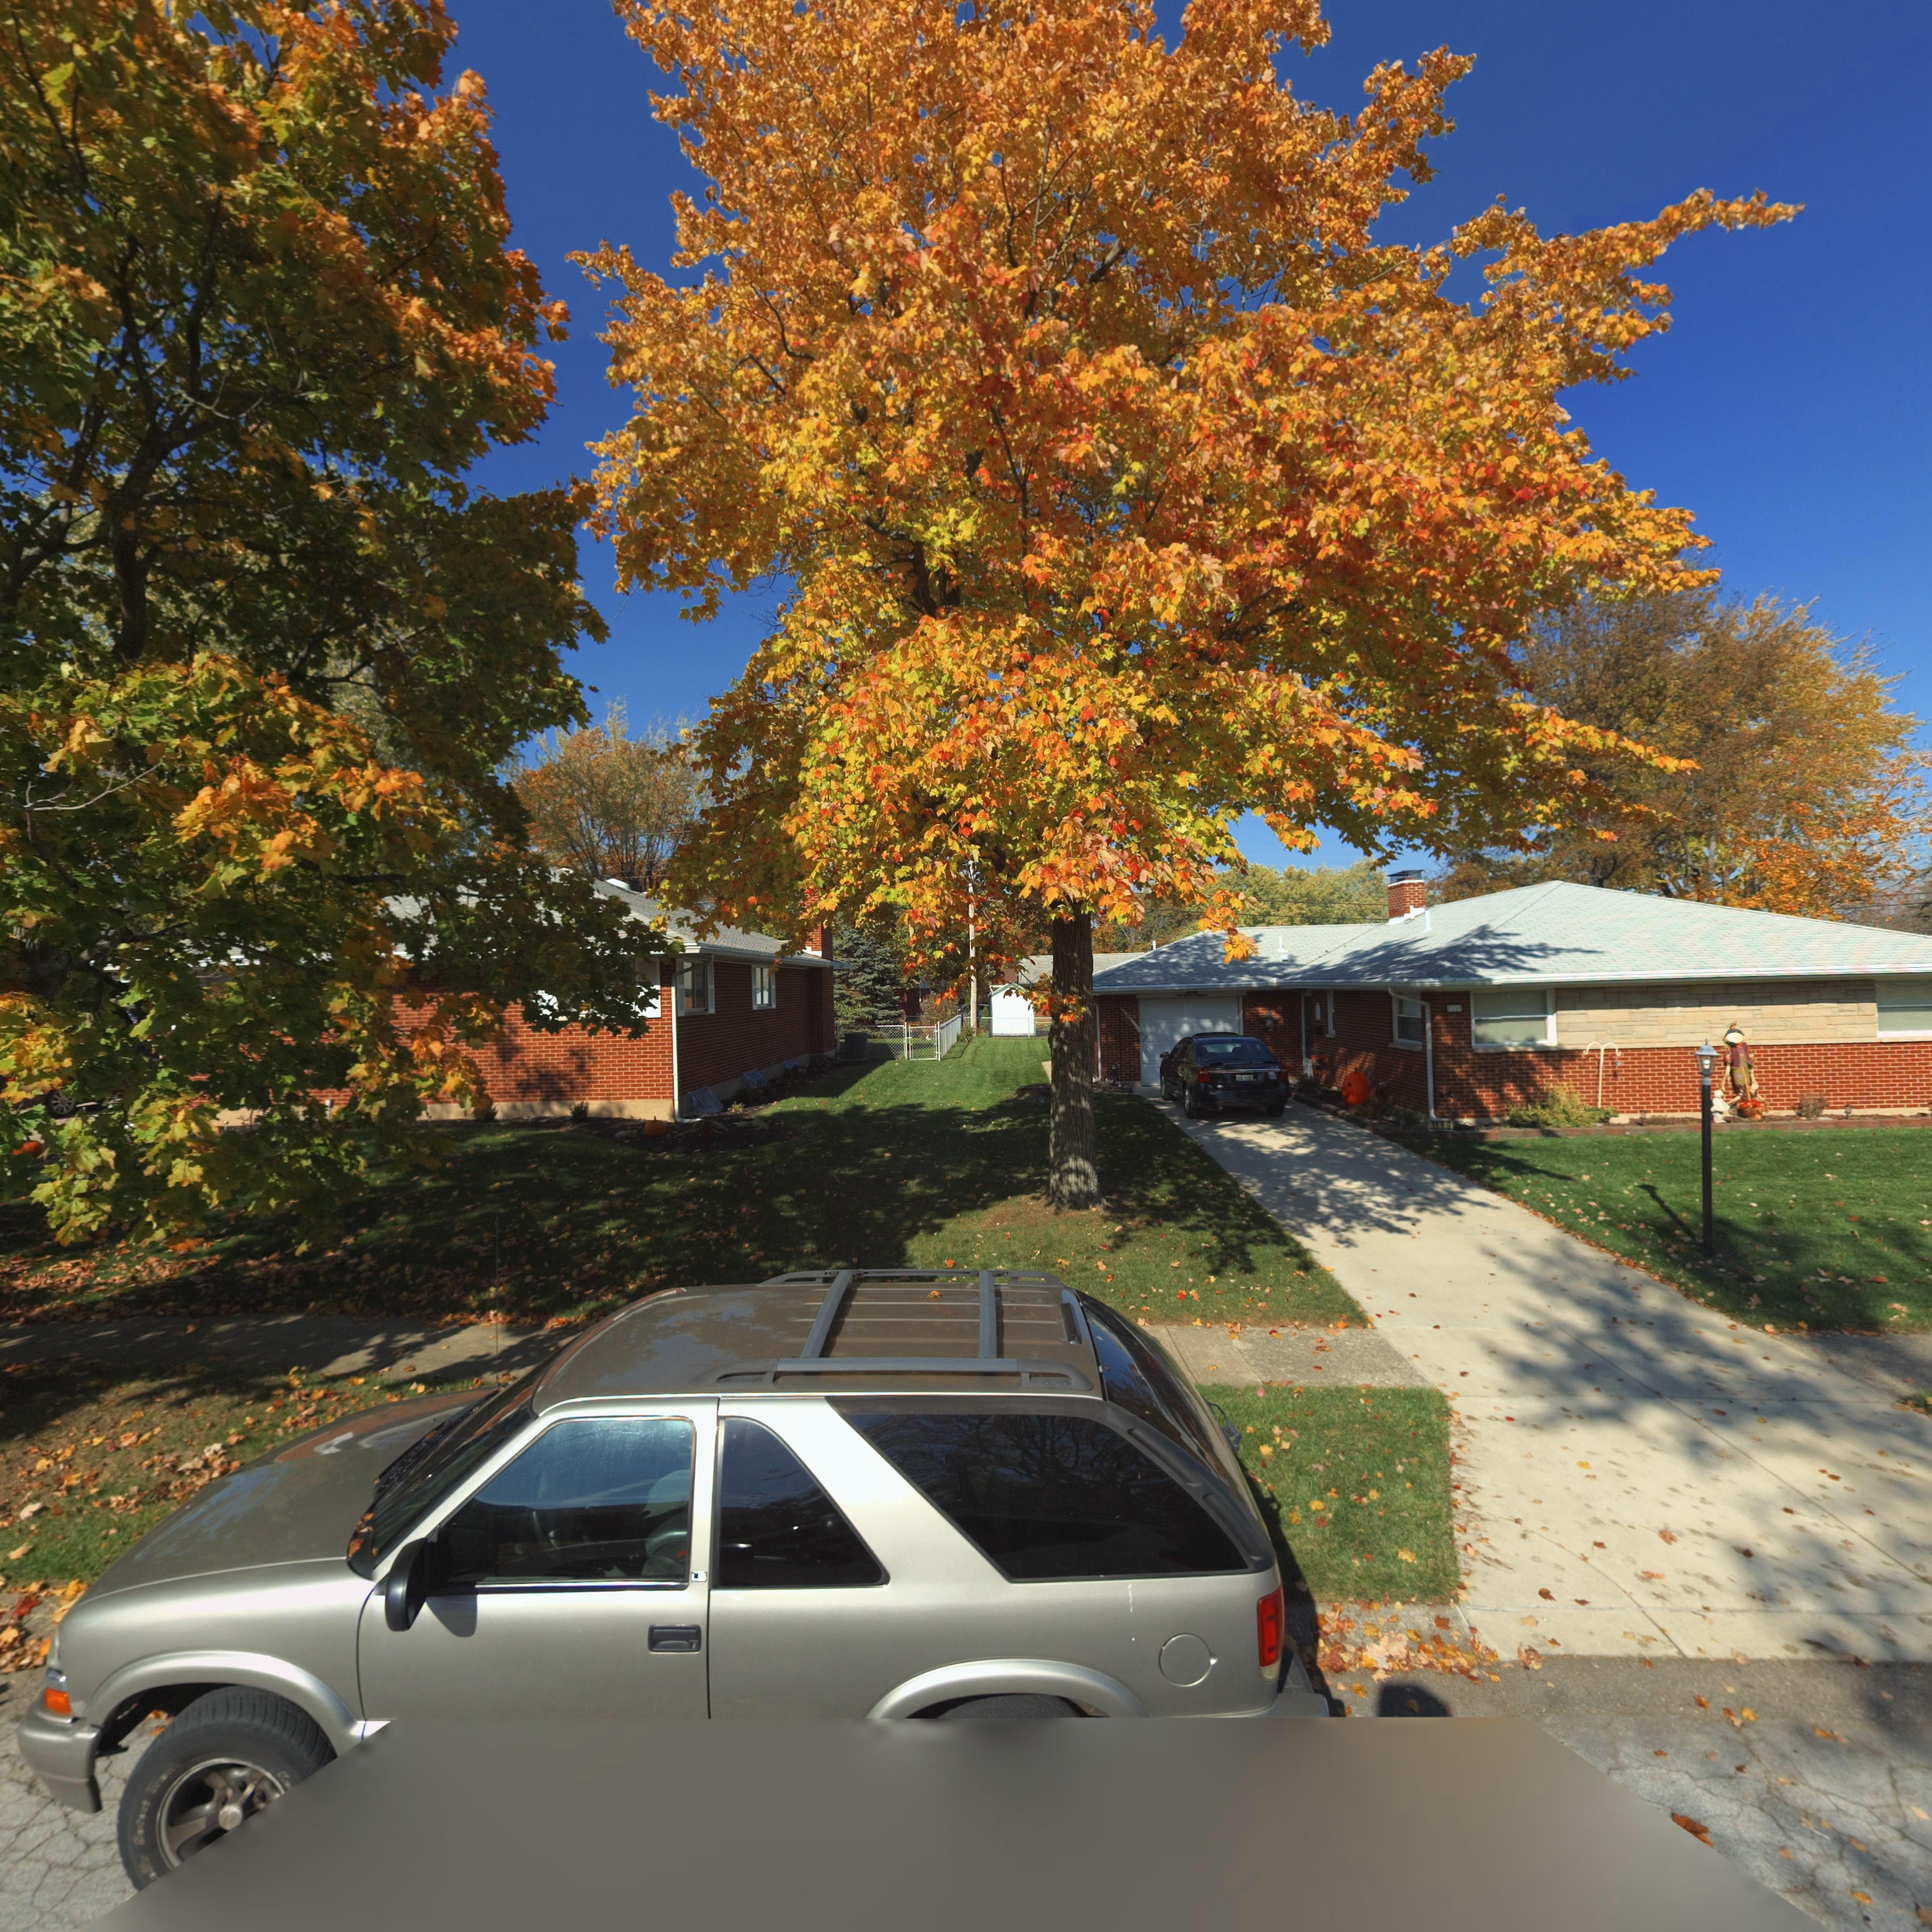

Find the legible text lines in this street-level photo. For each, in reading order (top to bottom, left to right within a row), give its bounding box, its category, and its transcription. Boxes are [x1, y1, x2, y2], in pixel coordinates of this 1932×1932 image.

[1447, 1004, 1462, 1012] StreetNumber: 111*
[1430, 1121, 1452, 1130] StreetNumber: 1119